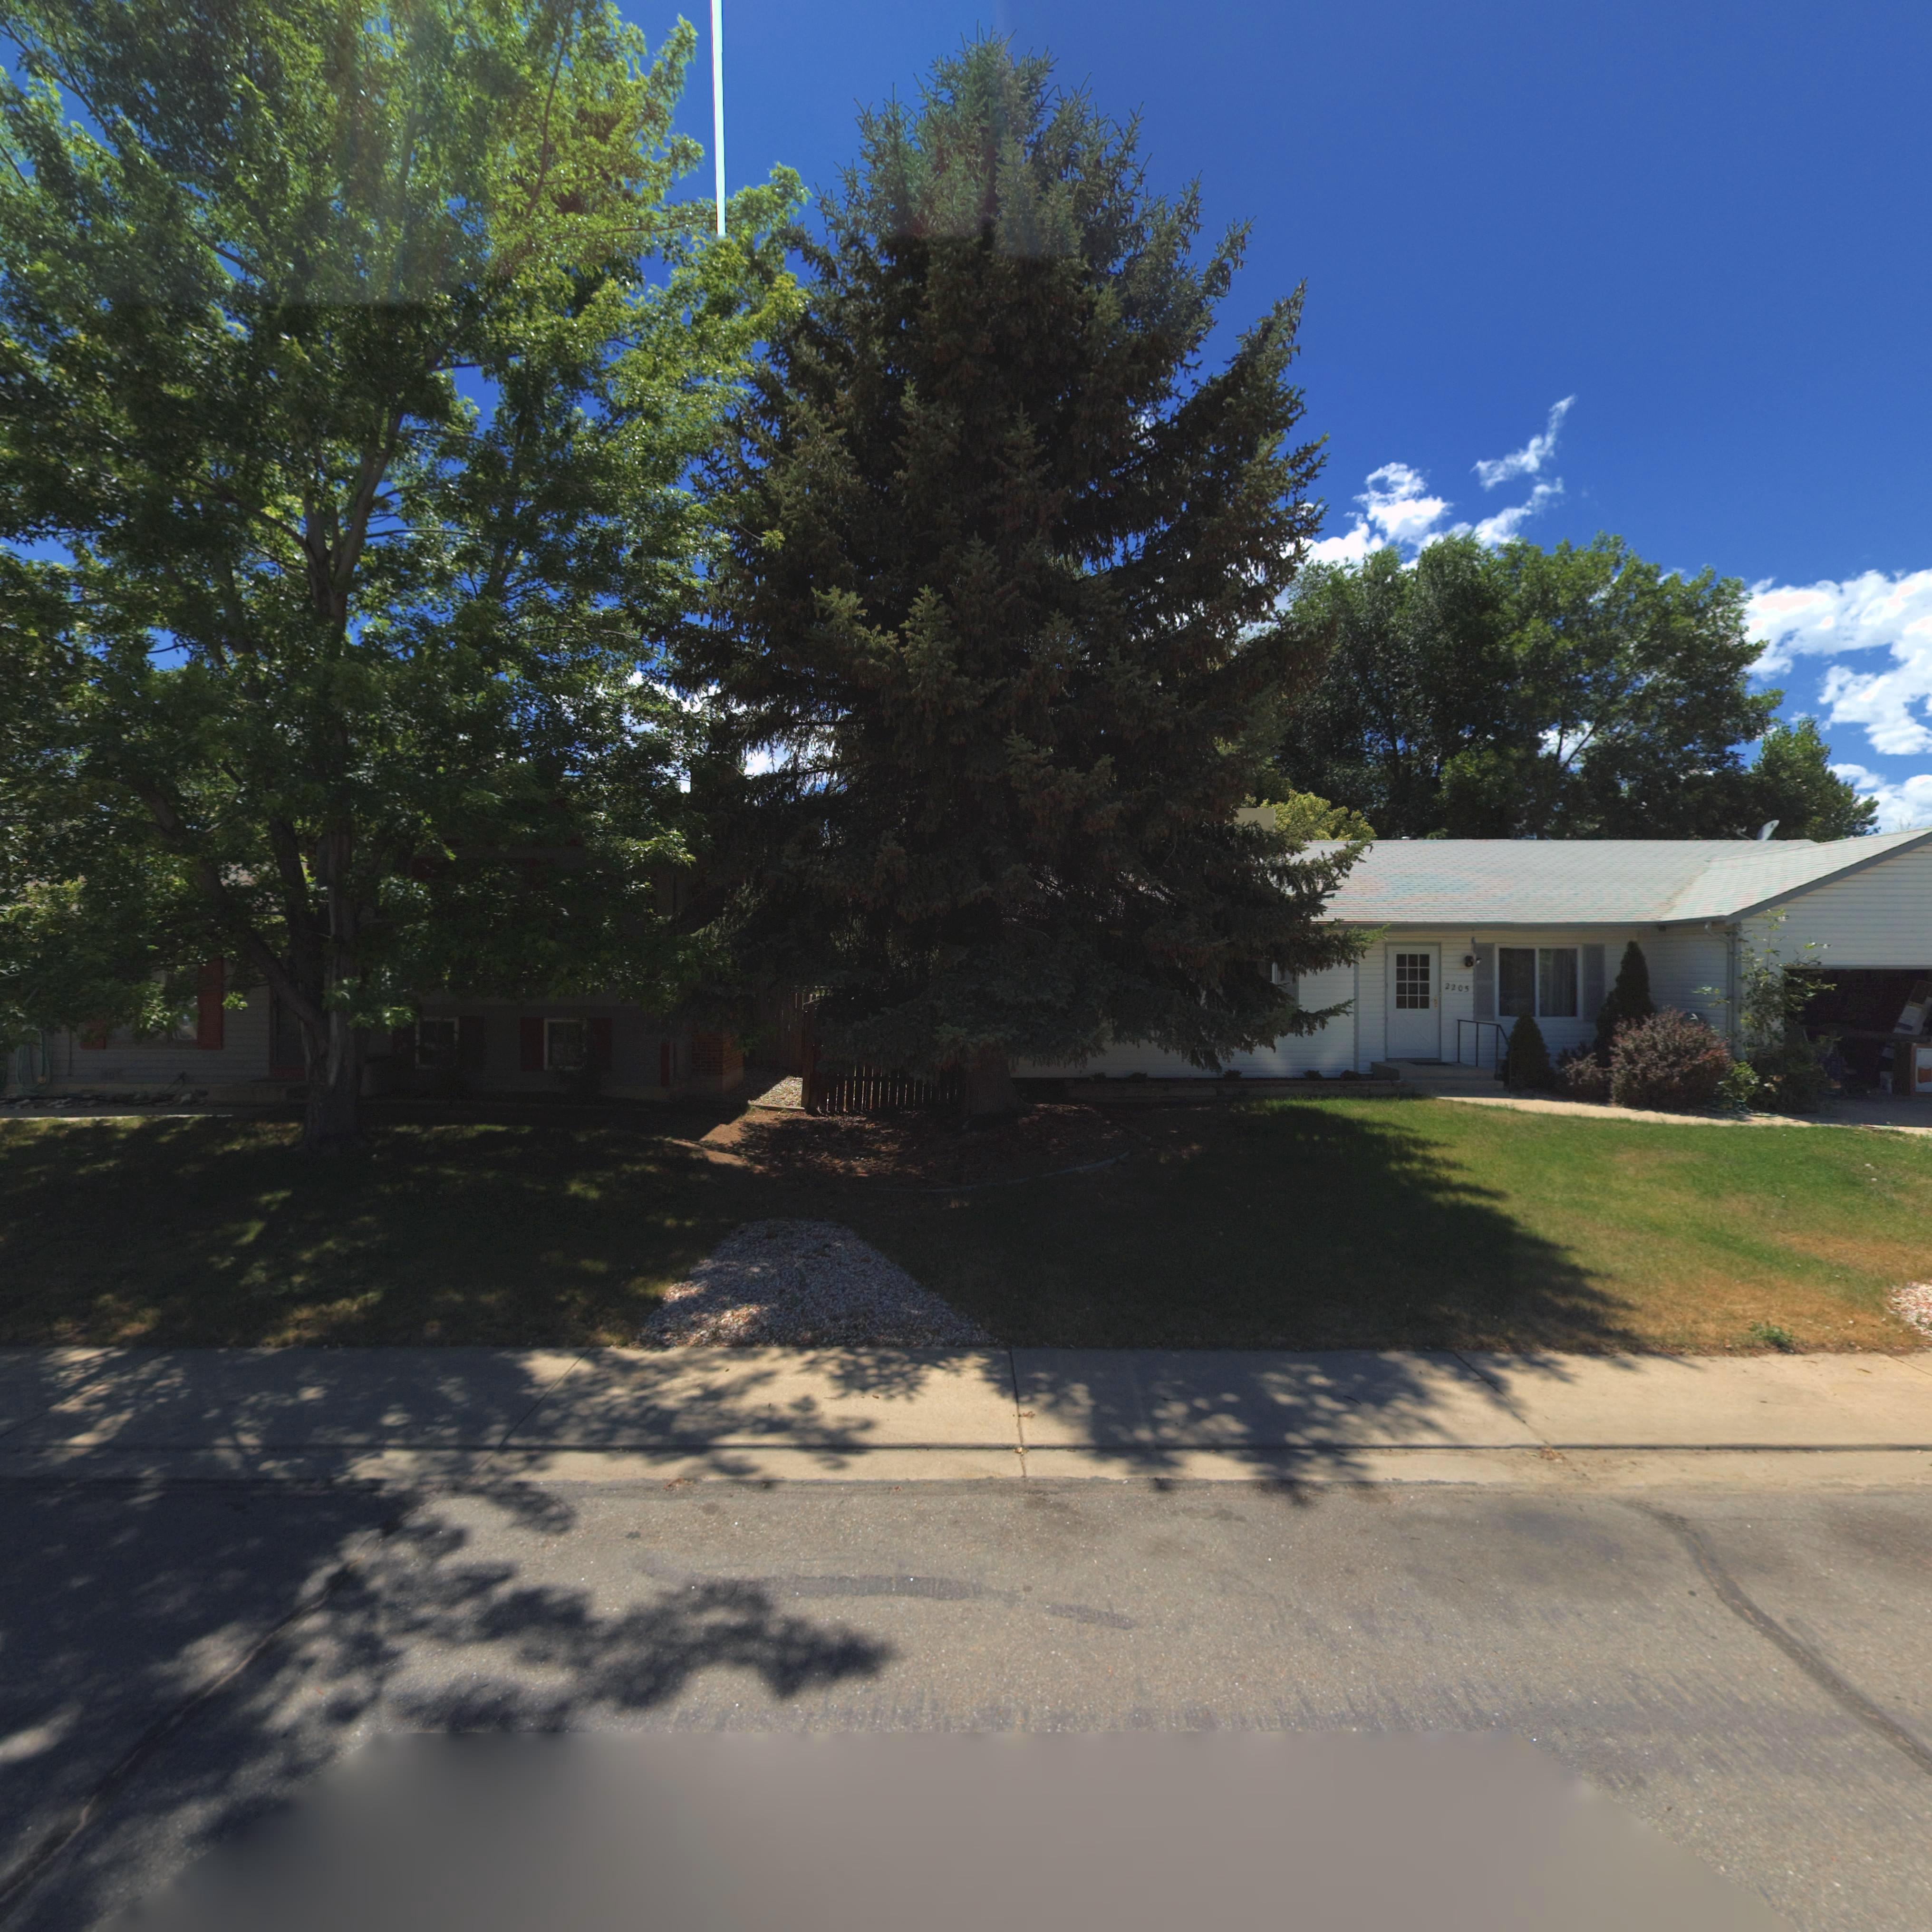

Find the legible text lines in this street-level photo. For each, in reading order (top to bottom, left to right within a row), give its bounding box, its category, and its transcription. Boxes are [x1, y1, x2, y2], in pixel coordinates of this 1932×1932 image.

[1444, 982, 1469, 993] StreetNumber: 2205